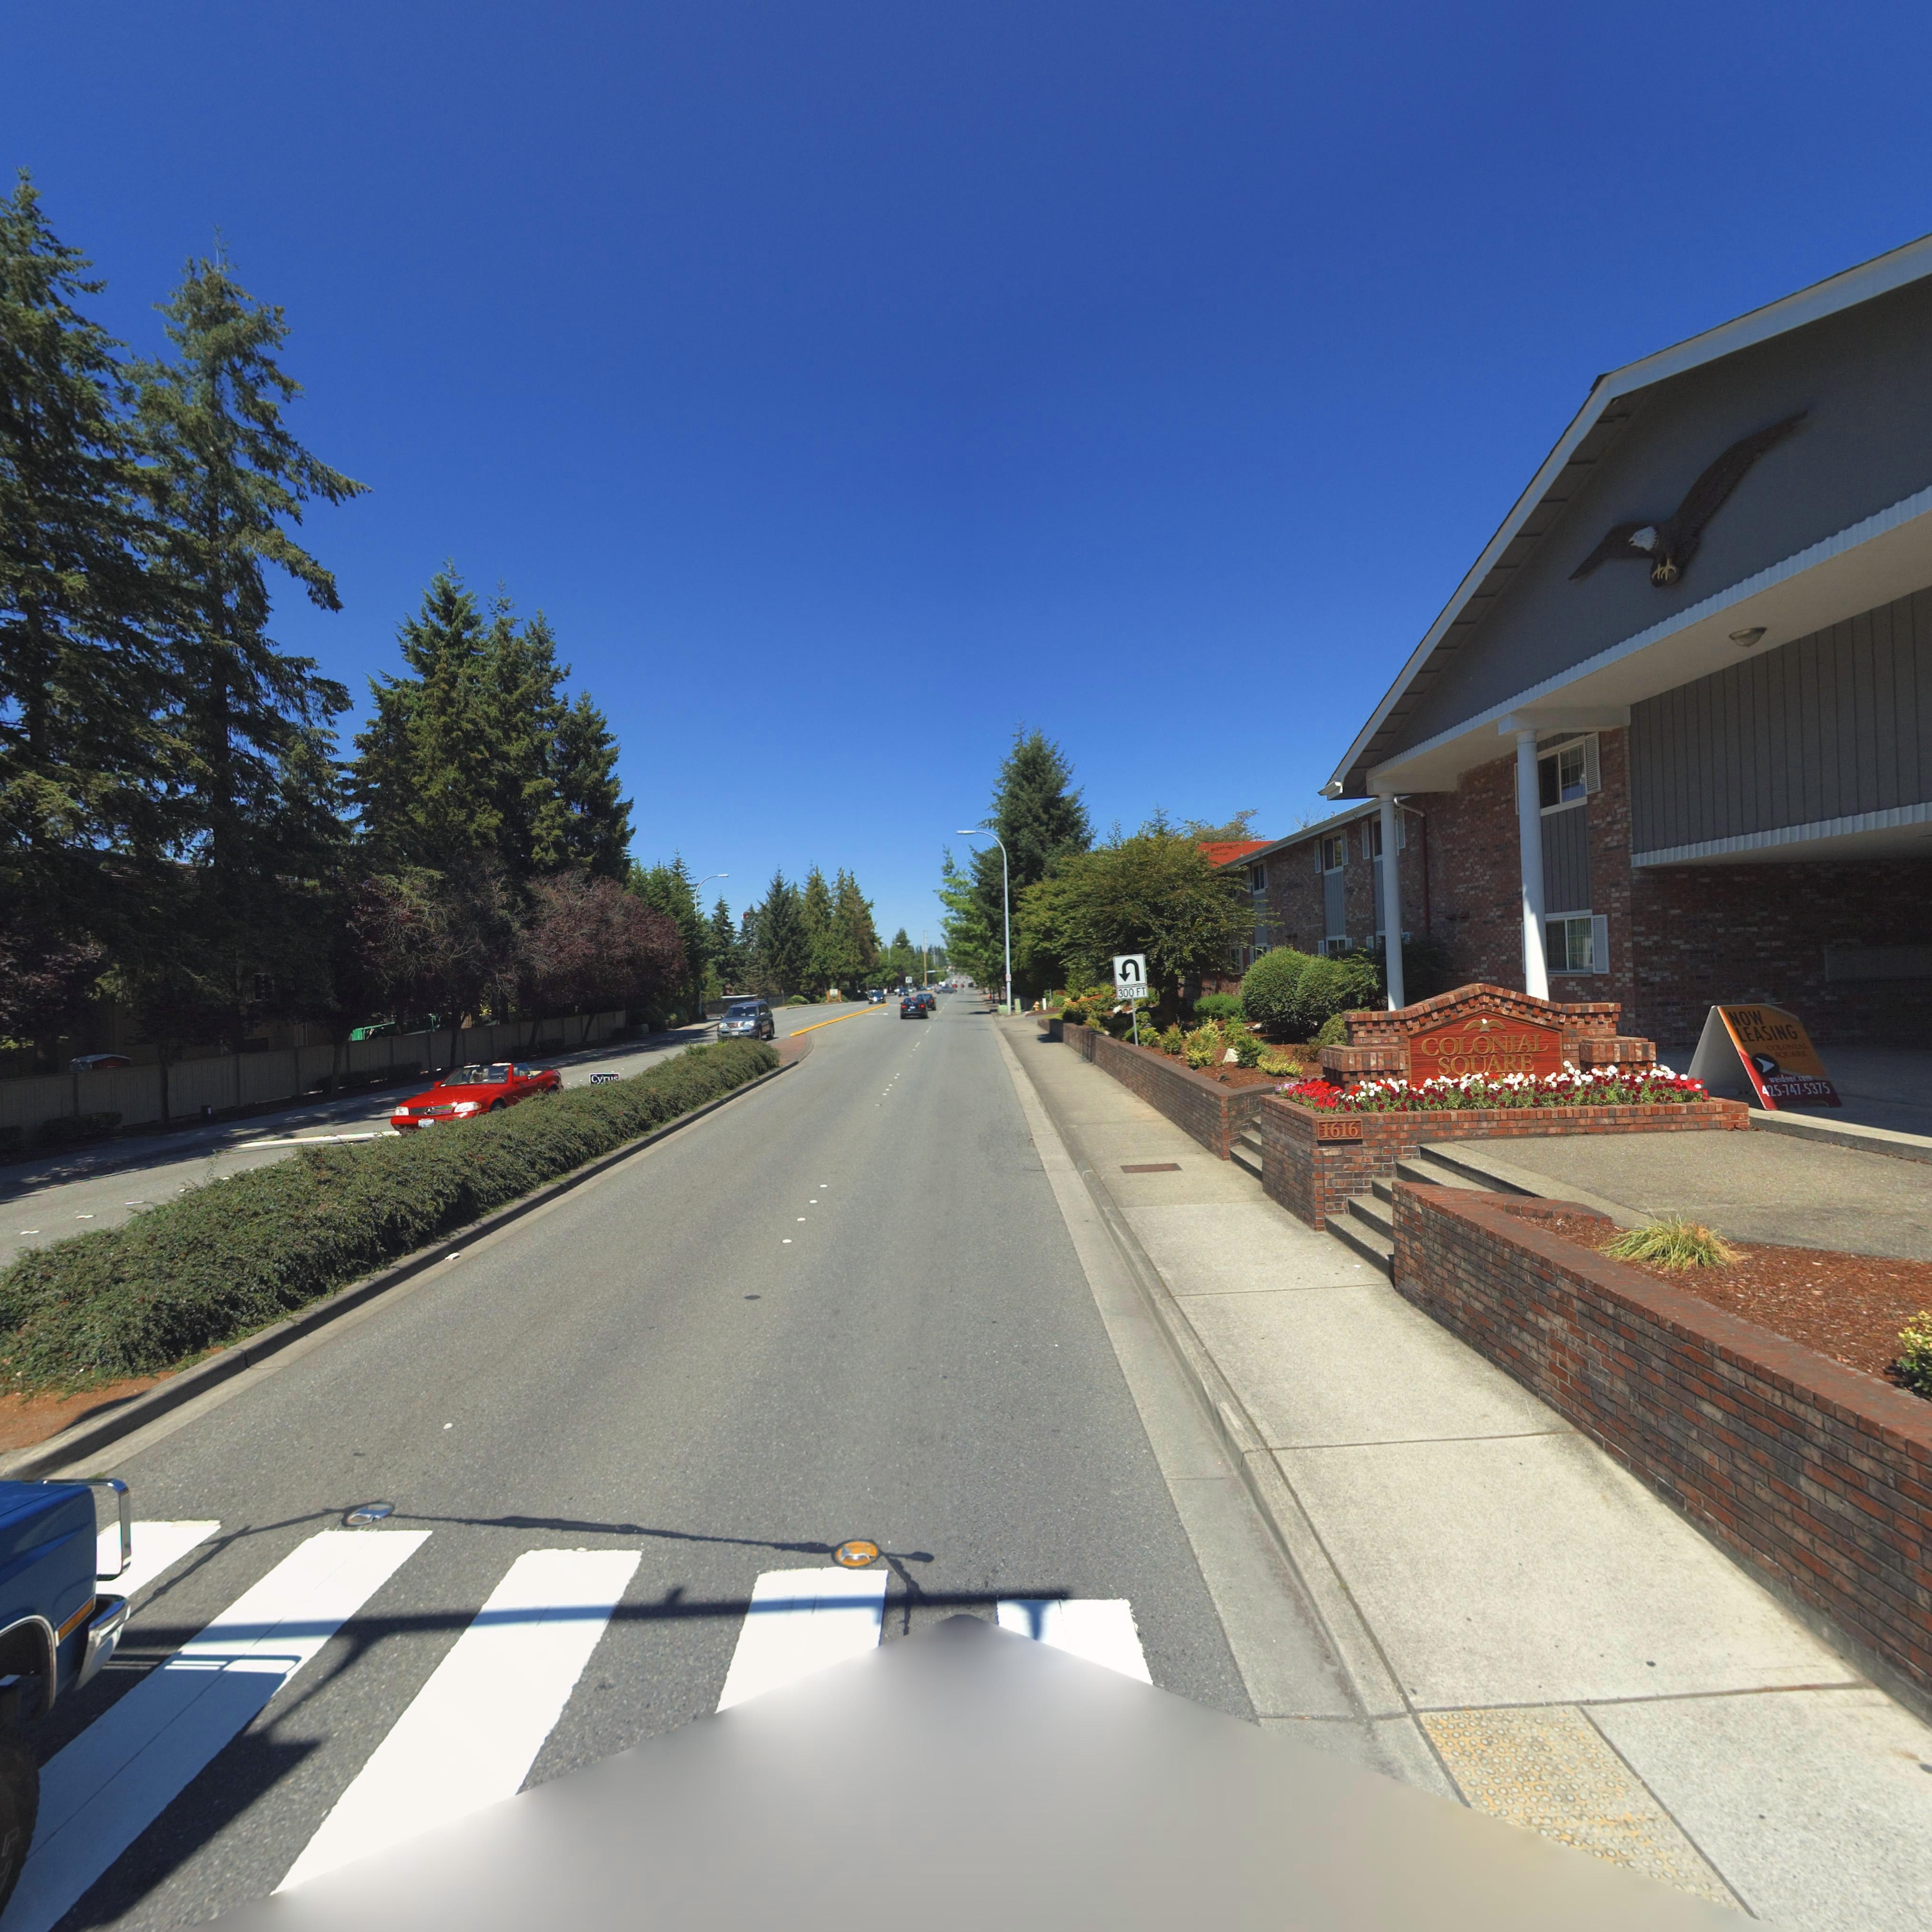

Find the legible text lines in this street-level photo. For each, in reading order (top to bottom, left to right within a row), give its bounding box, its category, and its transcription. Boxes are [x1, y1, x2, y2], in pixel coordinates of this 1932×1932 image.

[1420, 1032, 1551, 1057] BusinessName: COLONIAL
[1436, 1052, 1536, 1077] BusinessName: SQUARE
[1320, 1121, 1360, 1139] StreetNumber: 1616